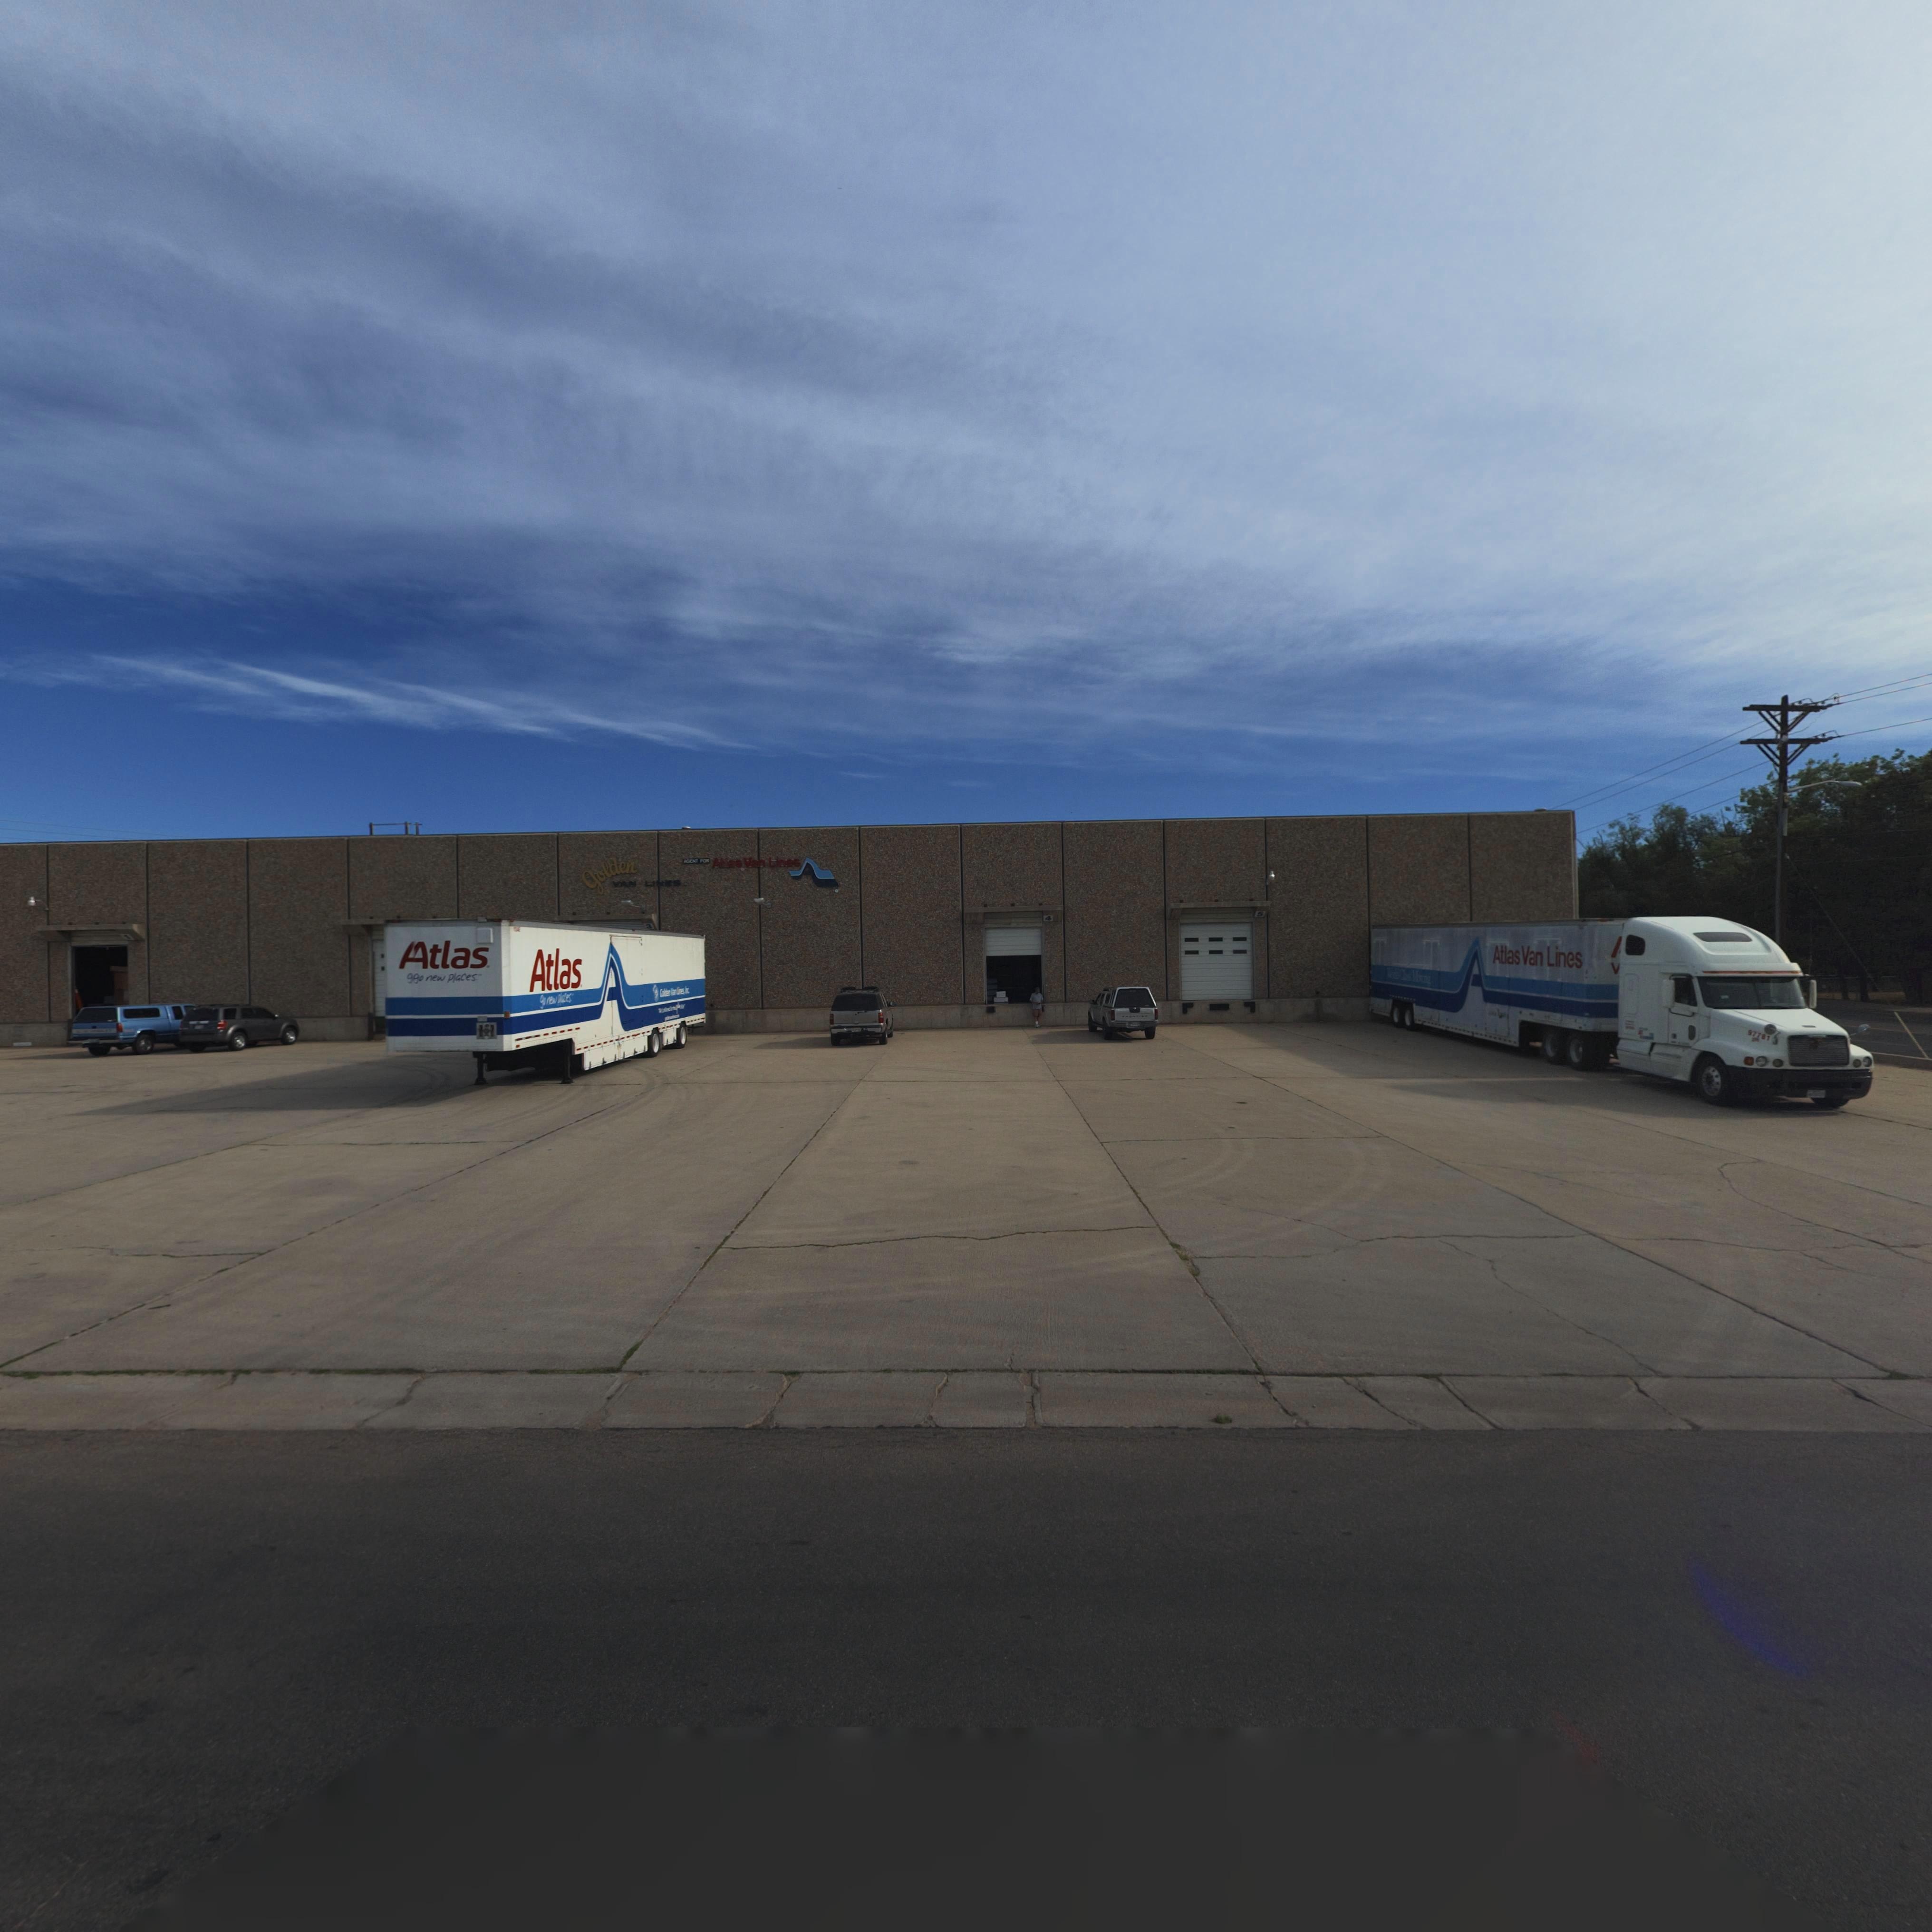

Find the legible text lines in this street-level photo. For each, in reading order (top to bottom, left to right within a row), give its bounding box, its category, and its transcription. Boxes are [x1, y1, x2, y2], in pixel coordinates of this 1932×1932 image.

[581, 857, 638, 895] BusinessName: golden
[611, 879, 681, 888] BusinessName: VAN LI**S